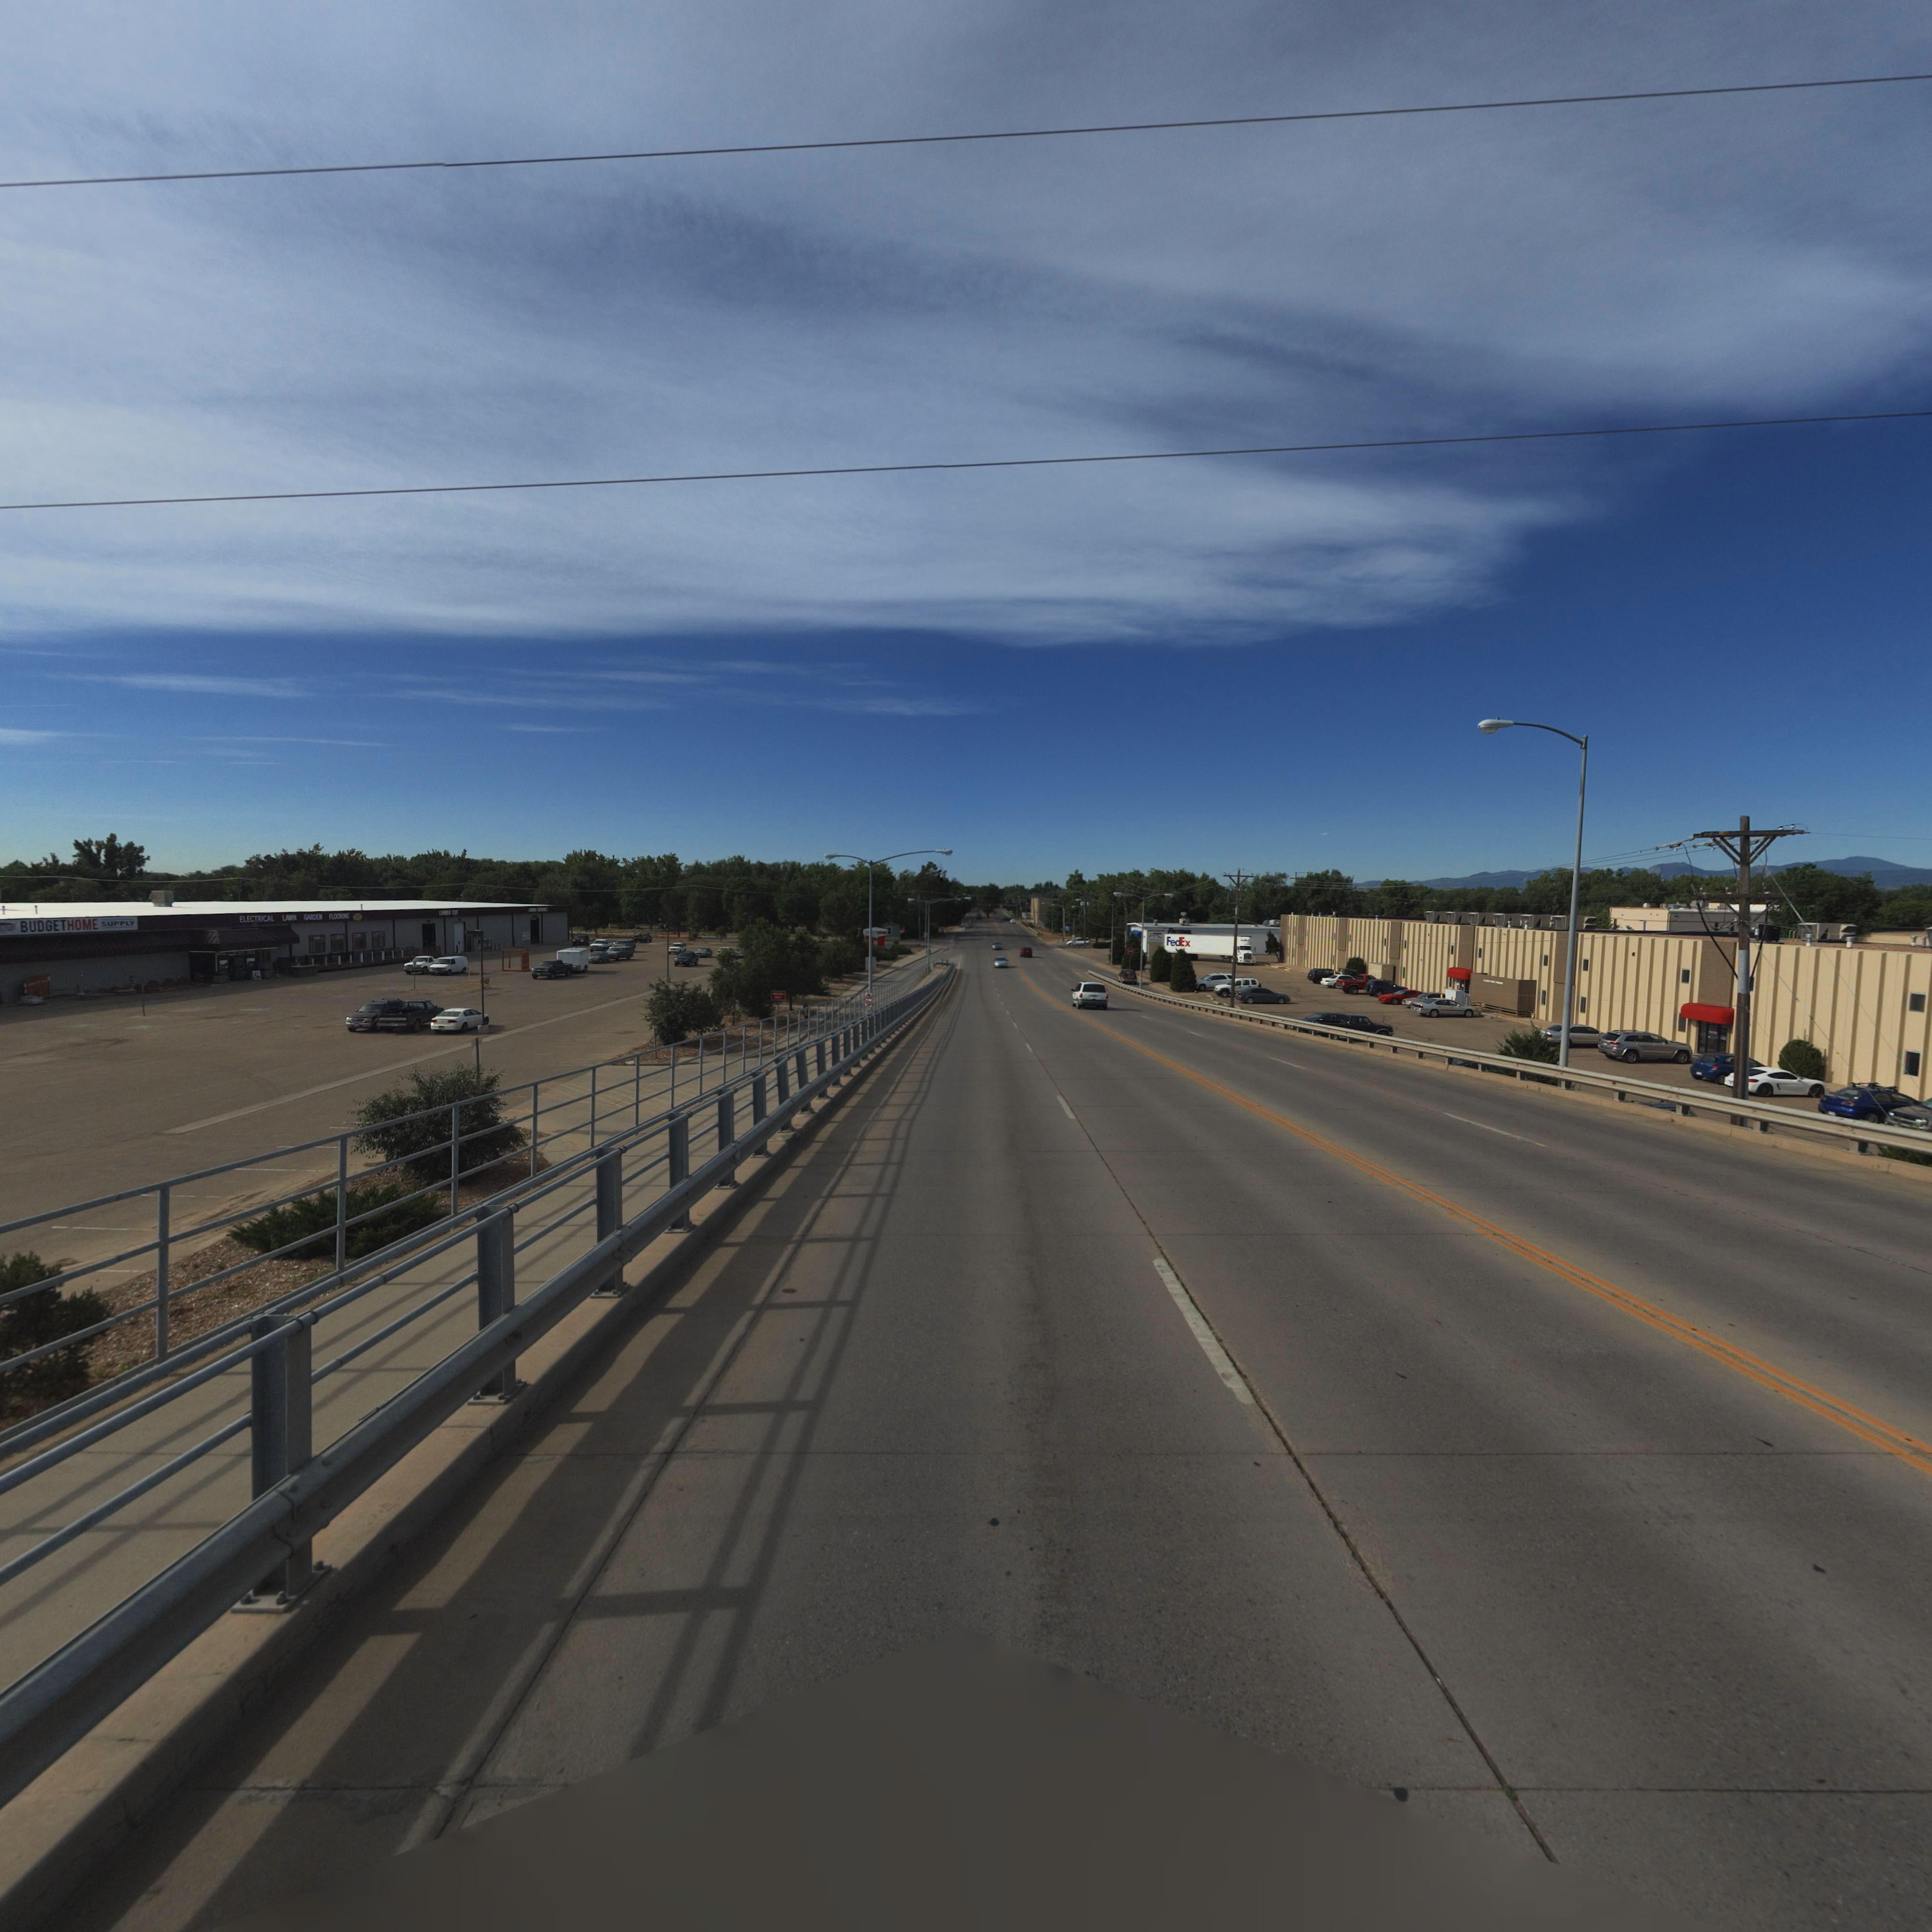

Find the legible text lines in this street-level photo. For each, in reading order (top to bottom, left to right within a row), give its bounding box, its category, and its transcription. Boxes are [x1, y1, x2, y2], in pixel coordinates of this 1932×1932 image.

[19, 918, 99, 933] BusinessName: BUDGETHOME
[101, 919, 135, 927] BusinessName: SUPPLY
[1167, 927, 1192, 934] BusinessName: FASTENAL
[1149, 932, 1162, 938] BusinessName: A**